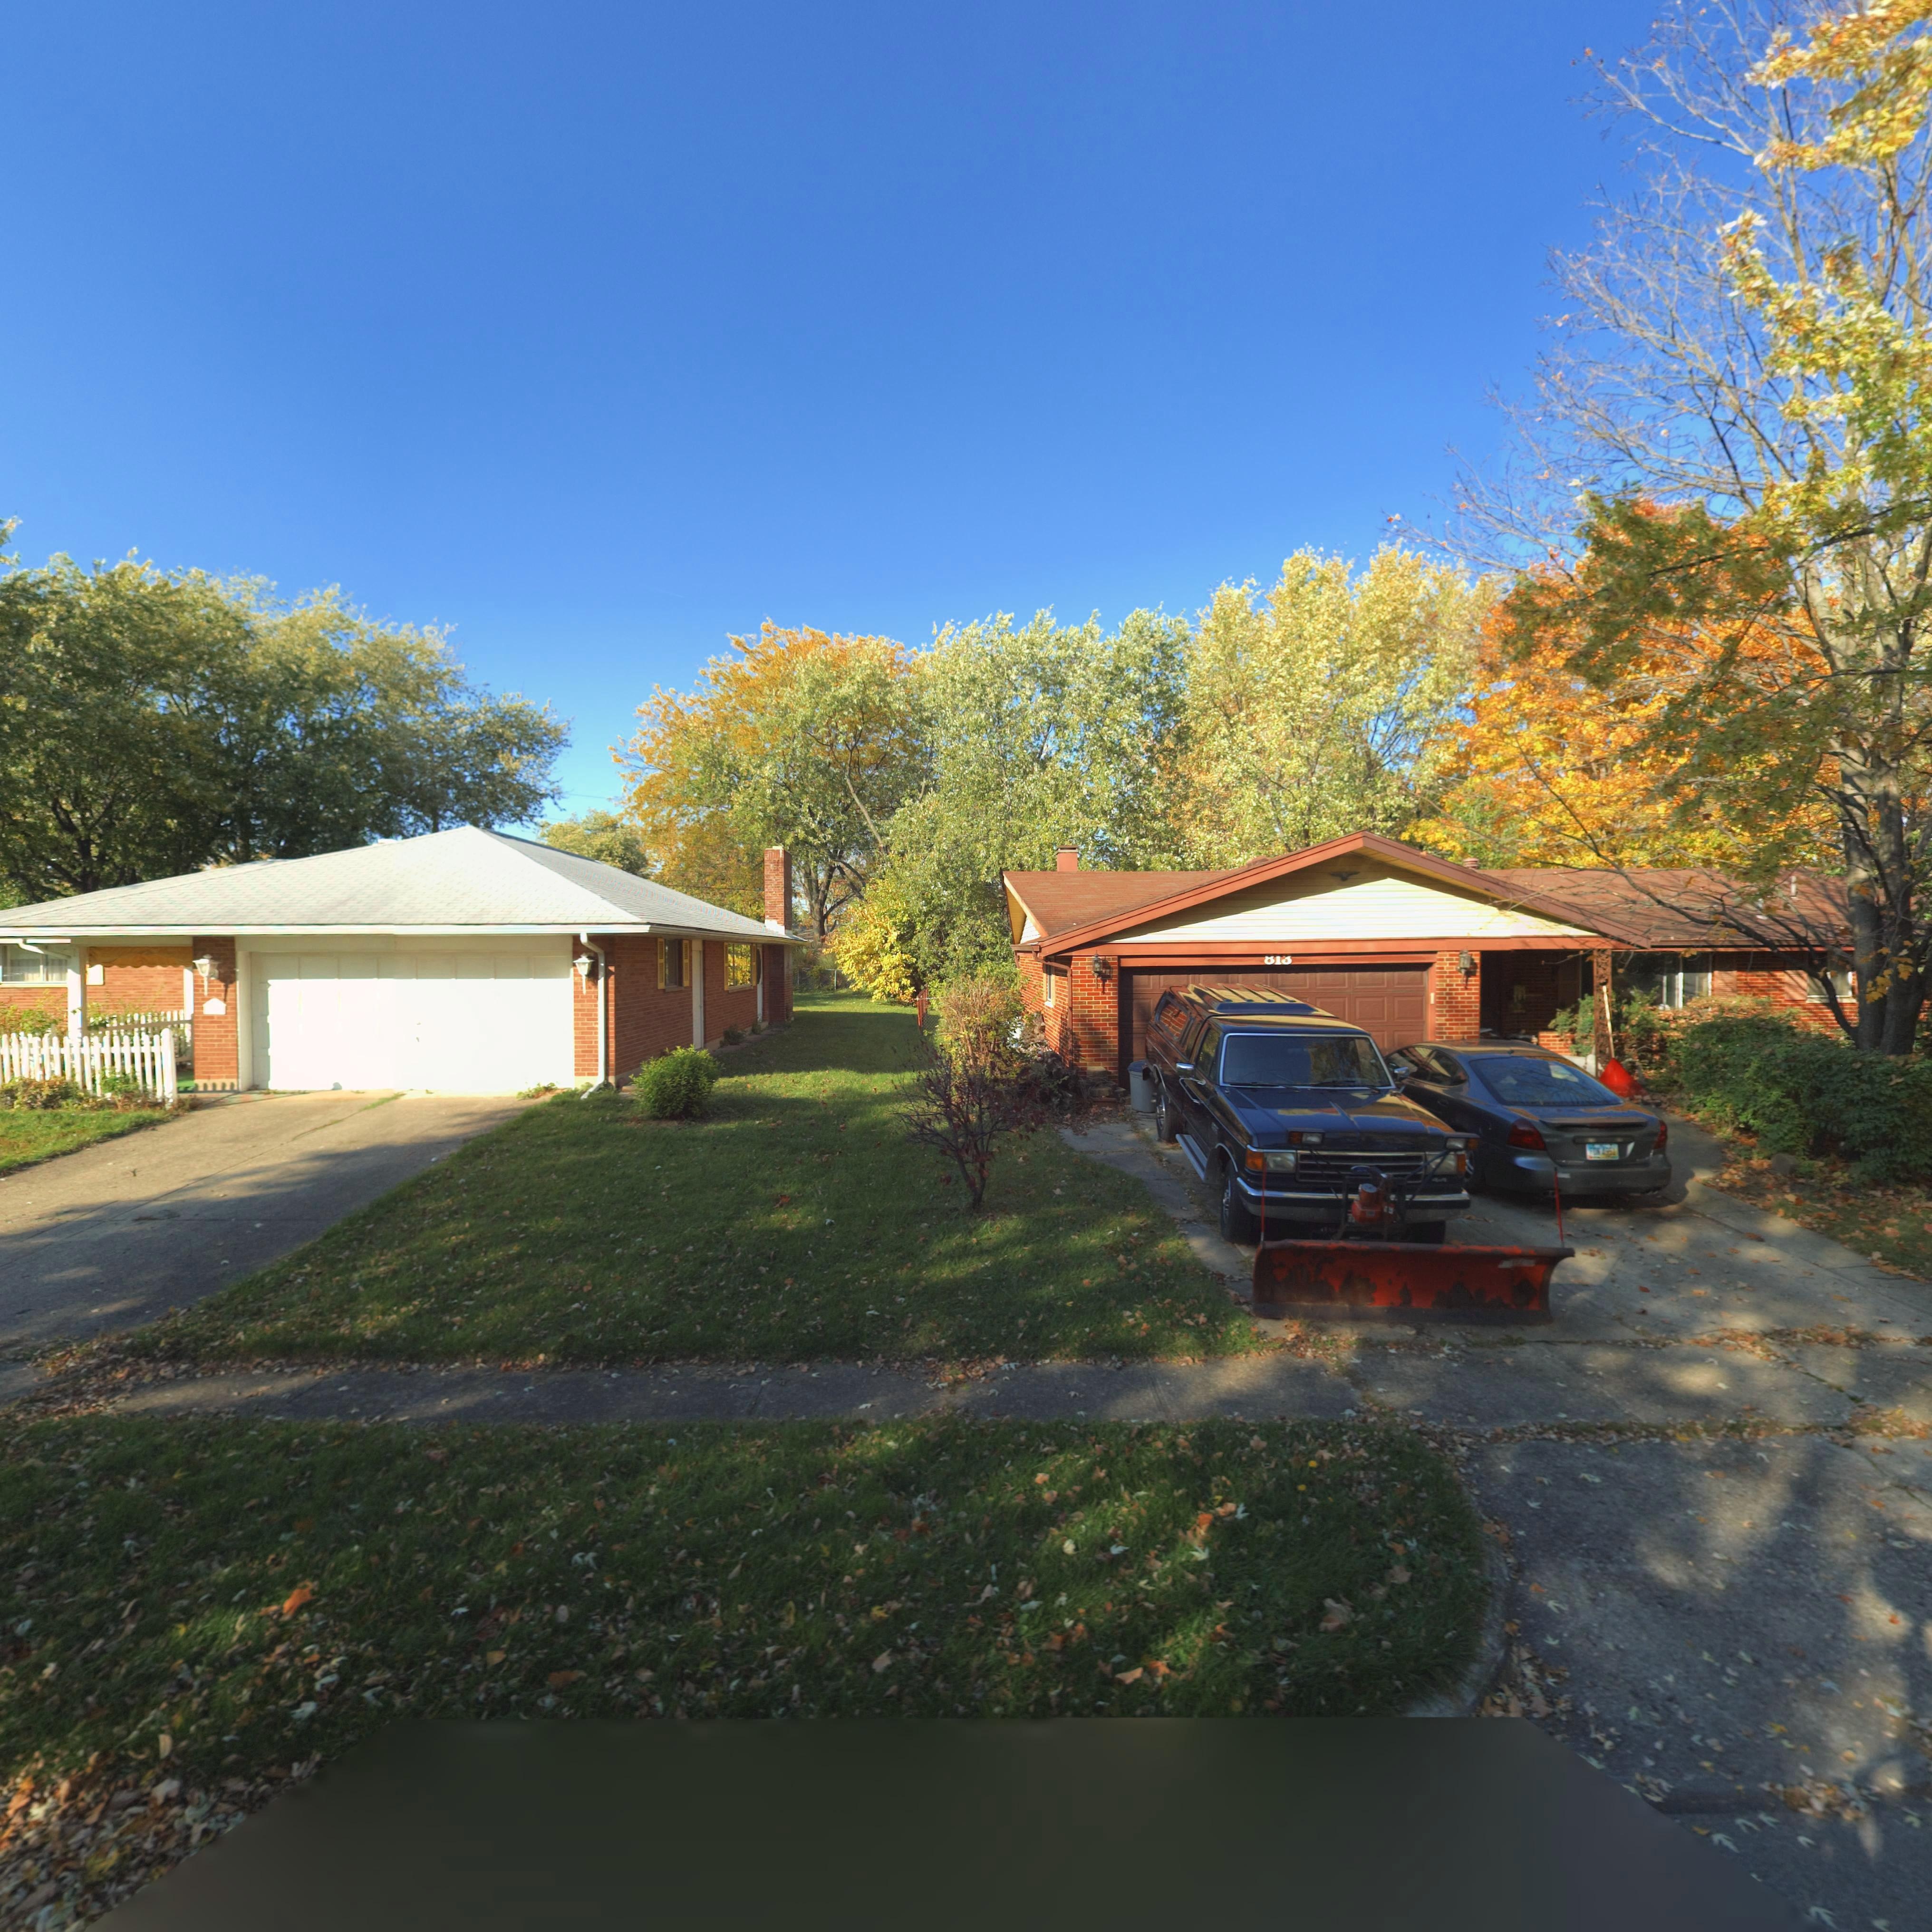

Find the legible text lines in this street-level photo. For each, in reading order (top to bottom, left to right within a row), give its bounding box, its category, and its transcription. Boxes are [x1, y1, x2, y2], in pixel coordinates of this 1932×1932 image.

[1263, 953, 1292, 965] StreetNumber: 813